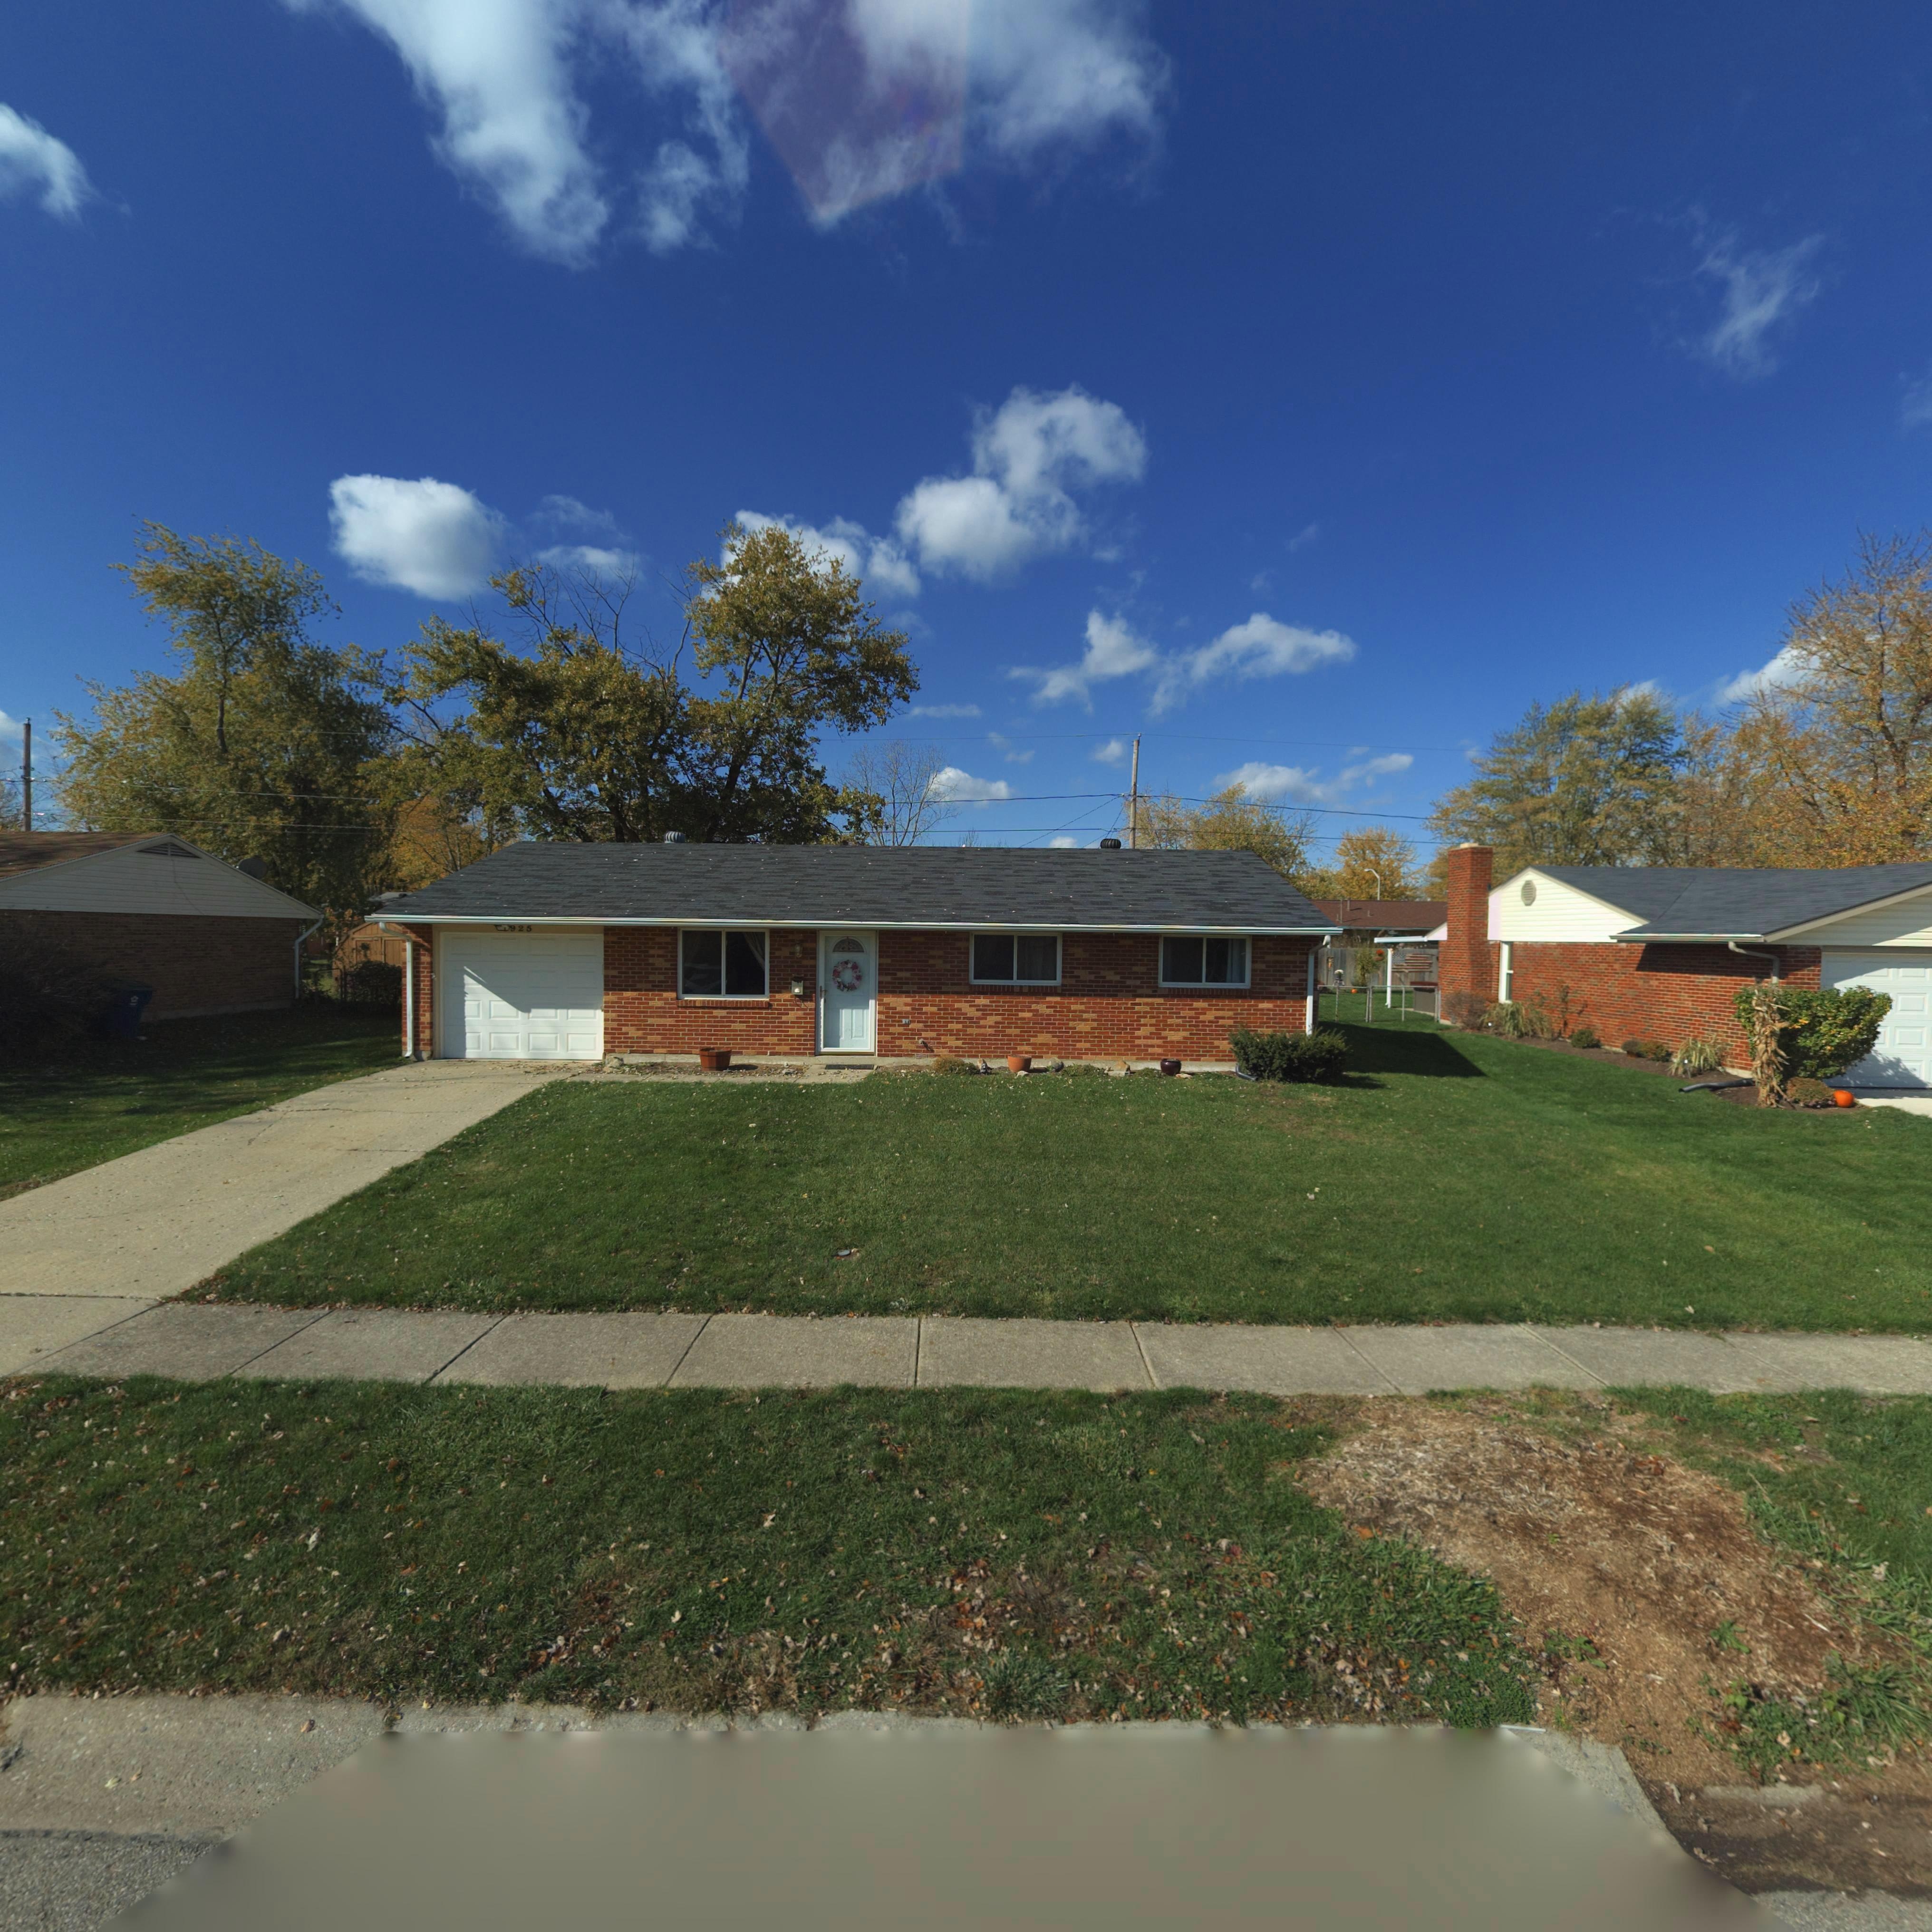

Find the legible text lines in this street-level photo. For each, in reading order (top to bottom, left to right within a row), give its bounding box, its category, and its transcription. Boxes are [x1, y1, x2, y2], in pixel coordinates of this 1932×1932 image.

[508, 924, 533, 933] StreetNumber: 925